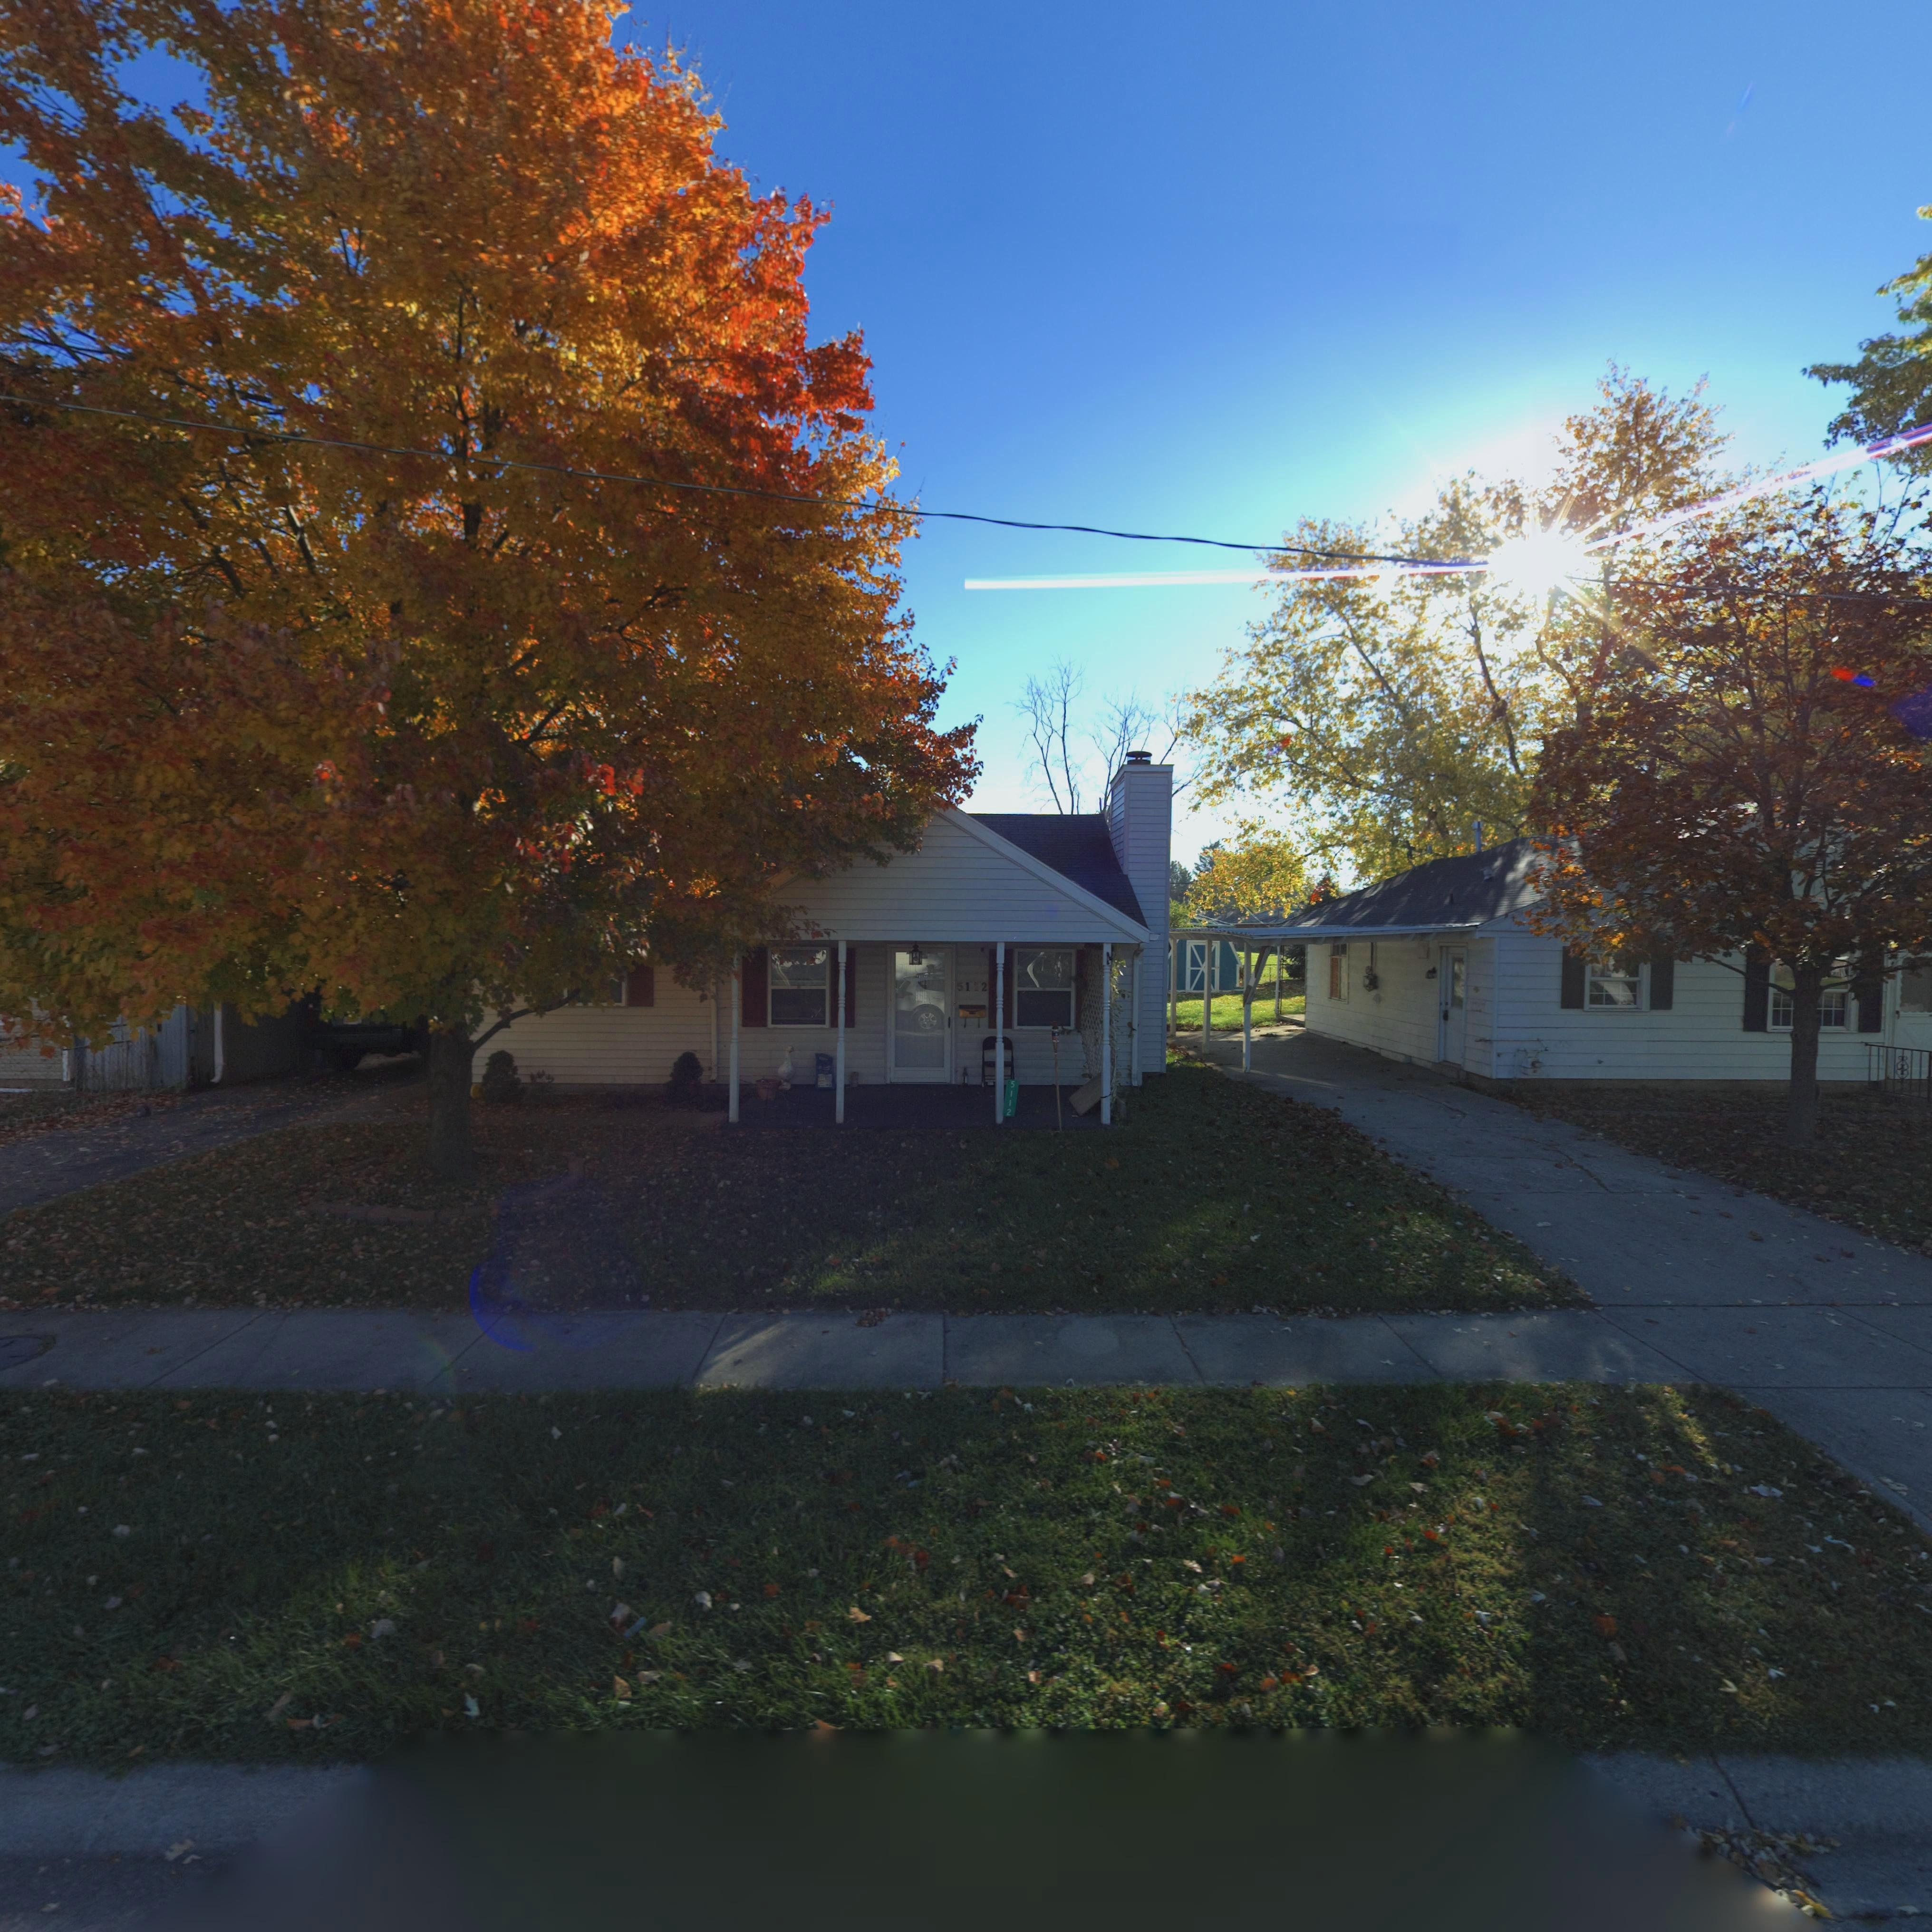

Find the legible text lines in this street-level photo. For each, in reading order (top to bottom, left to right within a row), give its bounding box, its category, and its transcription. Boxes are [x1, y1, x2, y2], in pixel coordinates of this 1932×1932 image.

[956, 981, 988, 992] StreetNumber: 5112
[1006, 1080, 1016, 1116] StreetNumber: 5112